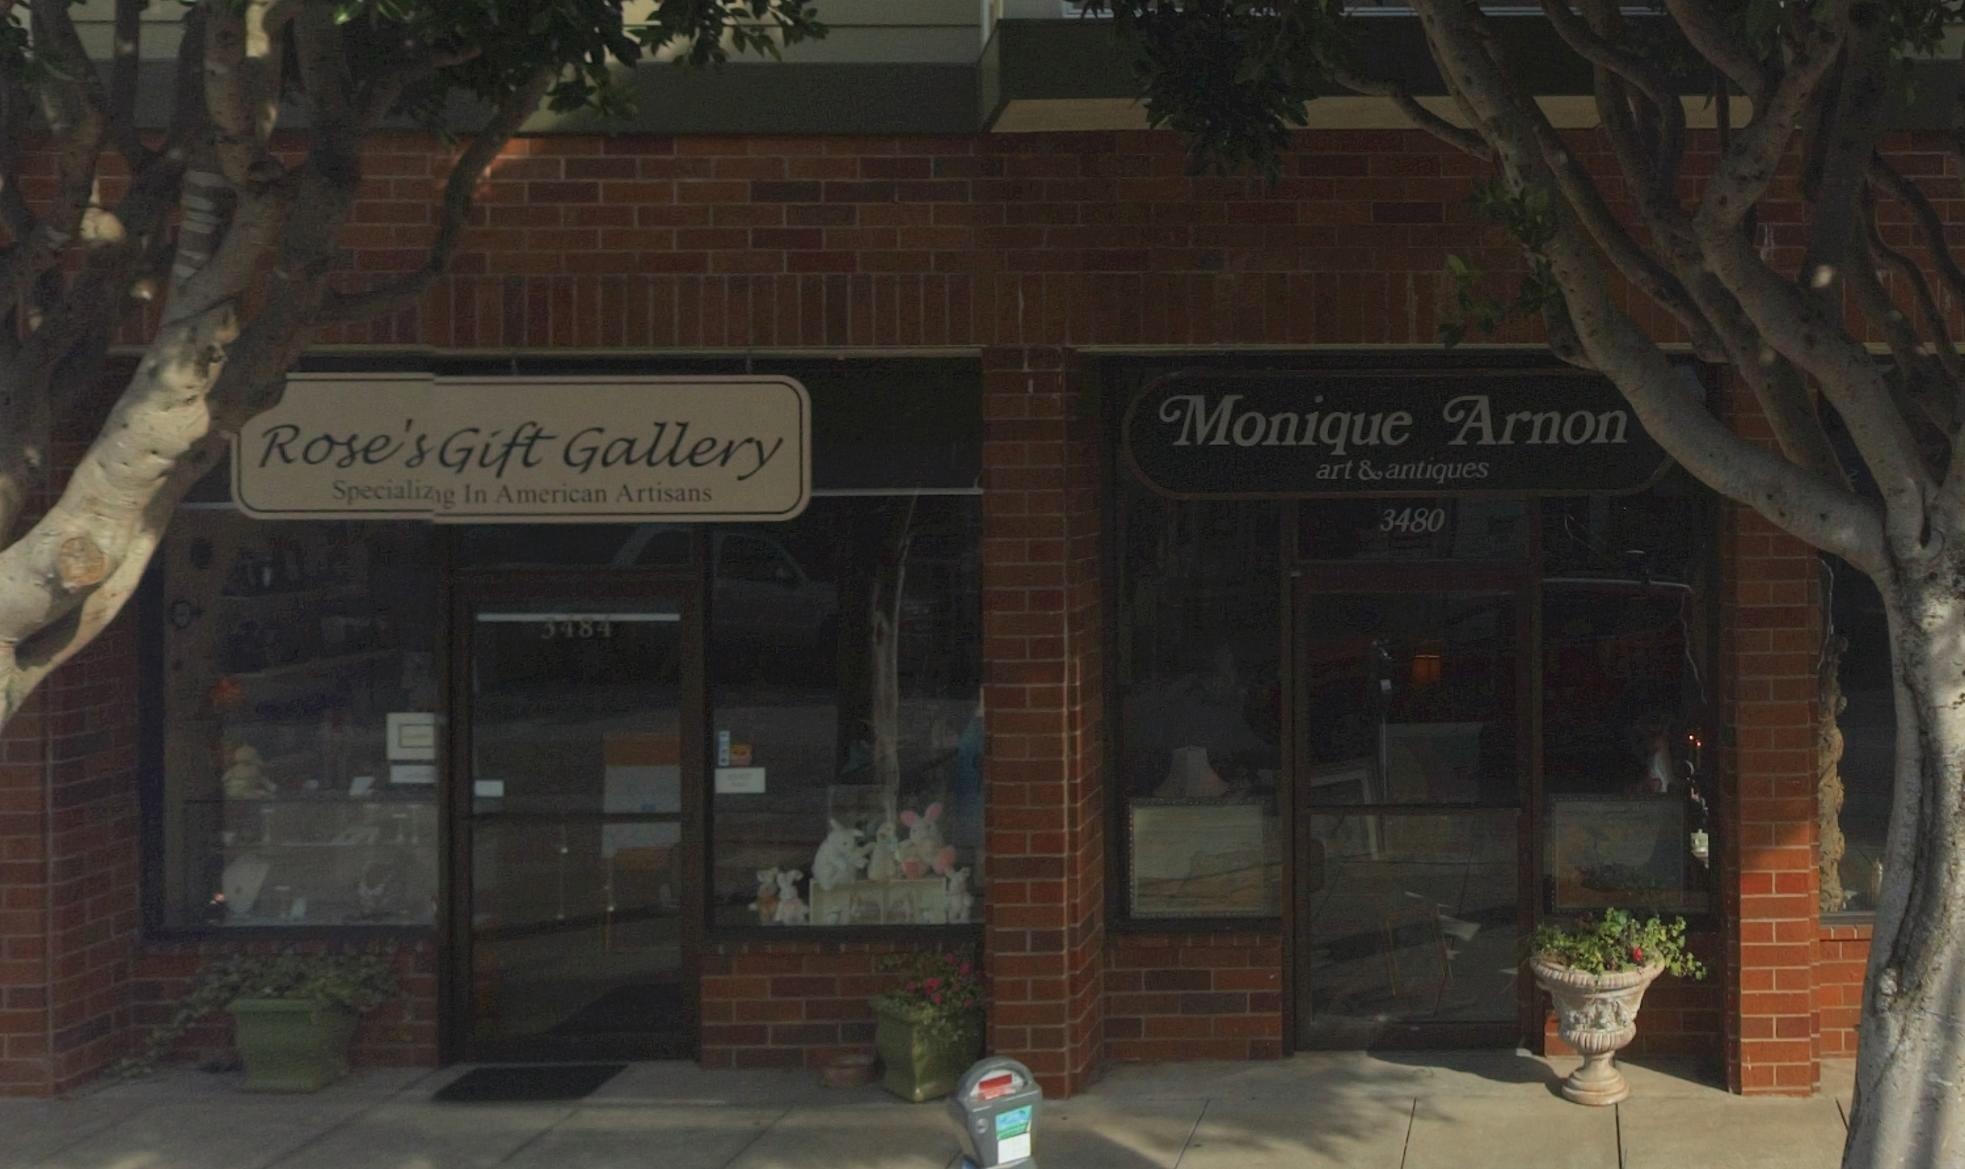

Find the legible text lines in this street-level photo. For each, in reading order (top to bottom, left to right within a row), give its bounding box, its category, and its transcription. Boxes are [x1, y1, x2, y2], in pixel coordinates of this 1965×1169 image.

[1154, 388, 1633, 461] BusinessName: Monique Arnon
[252, 414, 788, 483] BusinessName: Rose's Gift Gallery
[1312, 455, 1493, 487] None: art & antiques
[328, 476, 715, 514] None: Specializ**g In American Artisans
[1377, 505, 1447, 534] StreetNumber: 3480
[535, 610, 616, 642] StreetNumber: 3484